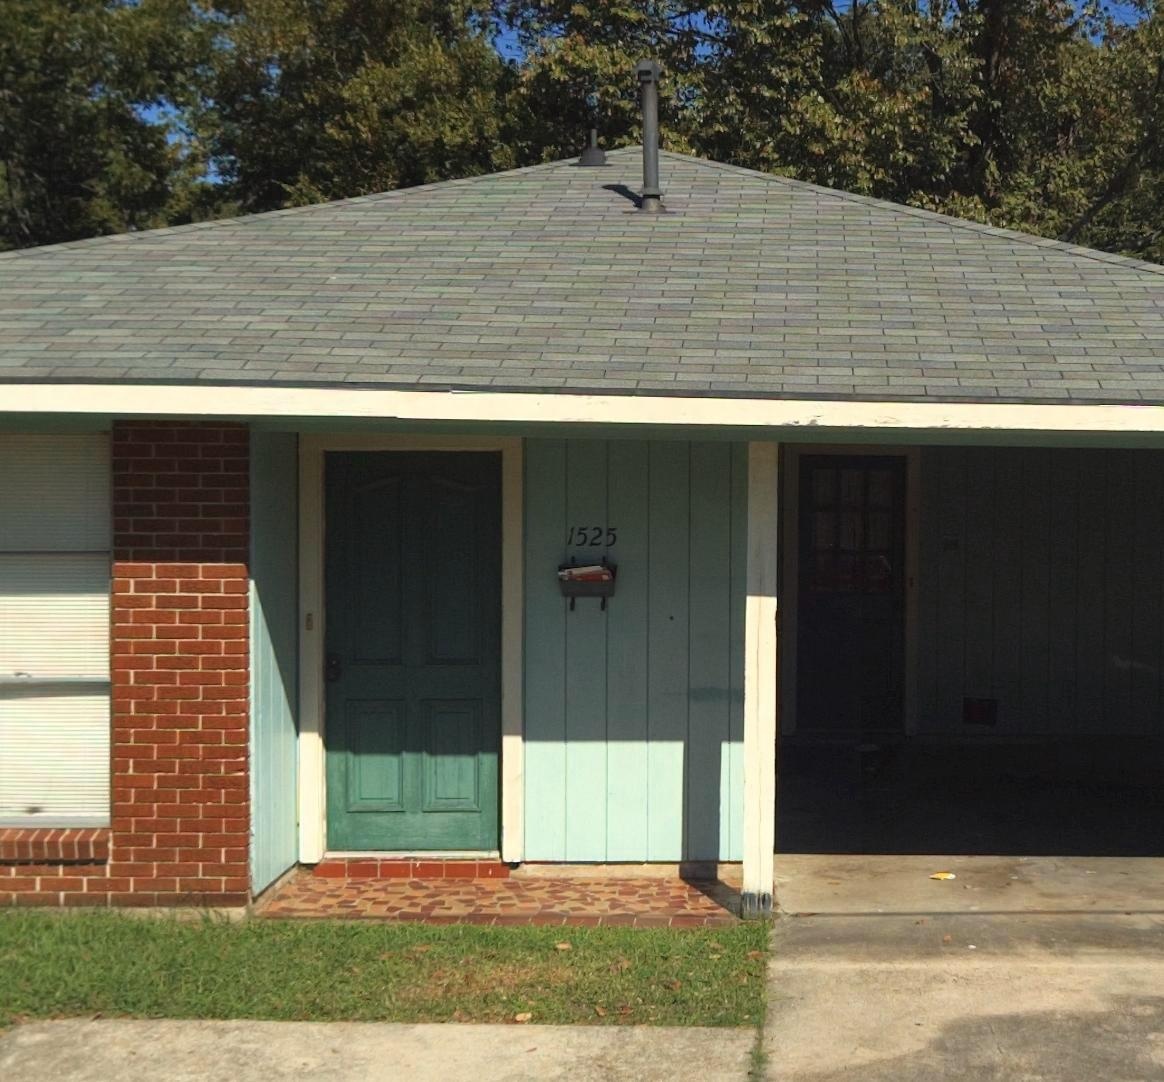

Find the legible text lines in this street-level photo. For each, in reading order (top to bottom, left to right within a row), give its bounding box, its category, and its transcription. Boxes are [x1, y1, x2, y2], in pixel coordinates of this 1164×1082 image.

[563, 524, 620, 549] StreetNumber: 1525